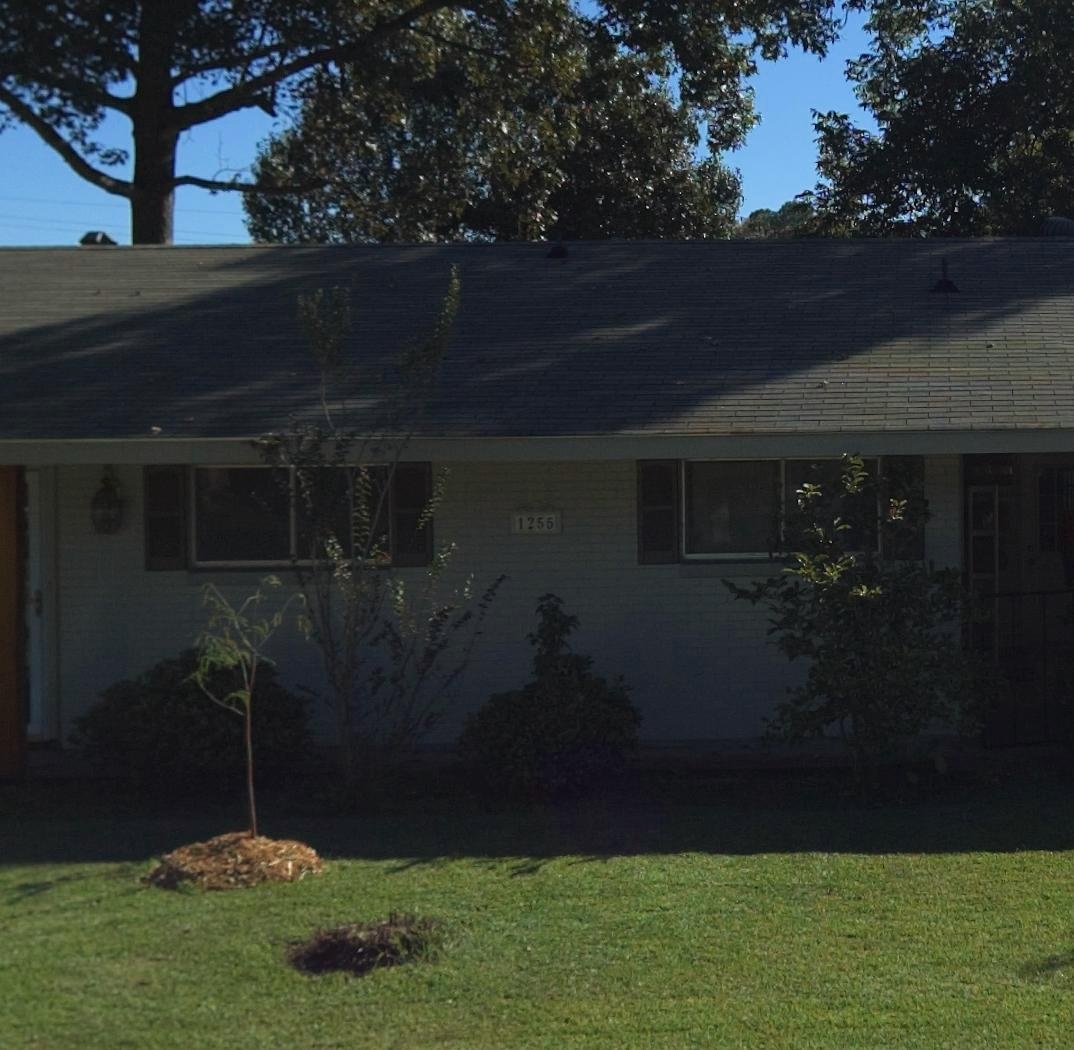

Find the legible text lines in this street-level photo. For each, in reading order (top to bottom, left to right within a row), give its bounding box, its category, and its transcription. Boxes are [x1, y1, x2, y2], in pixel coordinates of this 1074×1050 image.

[516, 515, 555, 531] StreetNumber: 1255